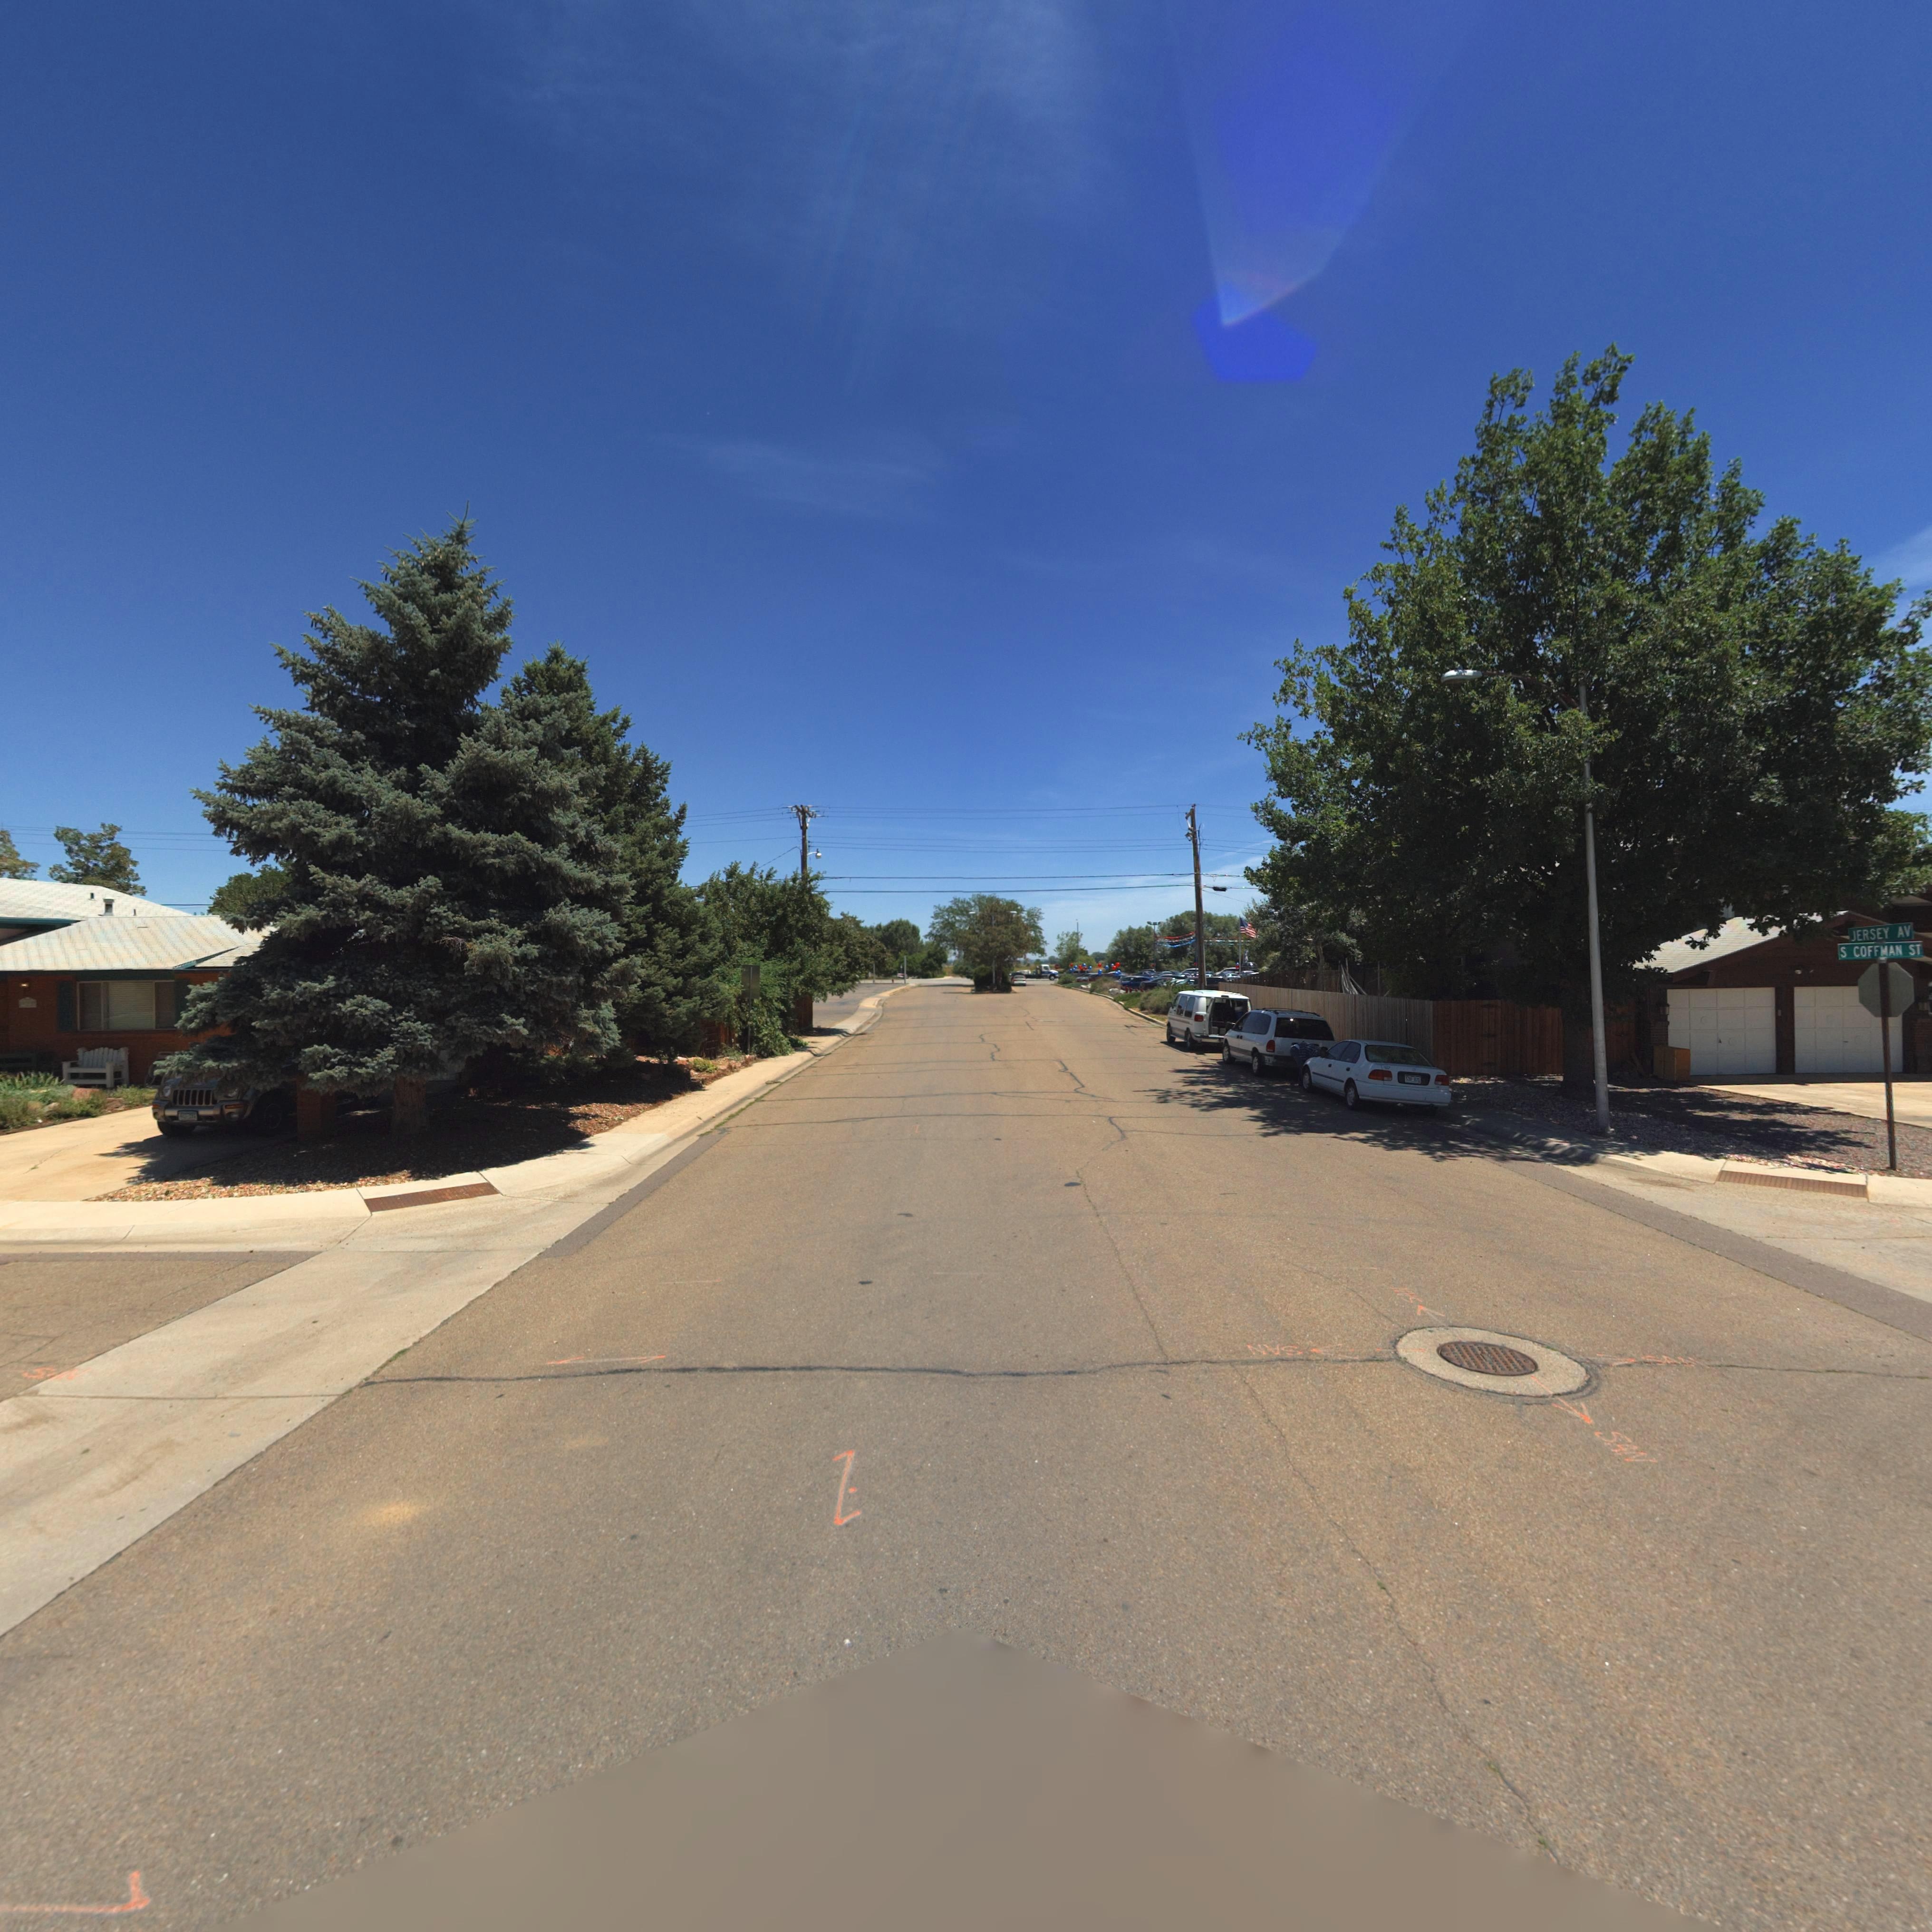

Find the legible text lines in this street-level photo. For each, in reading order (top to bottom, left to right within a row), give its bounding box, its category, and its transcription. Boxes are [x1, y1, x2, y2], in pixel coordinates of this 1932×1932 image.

[1850, 924, 1912, 942] StreetName: JERSEY AV
[1839, 943, 1921, 958] StreetName: S COFFMAN ST